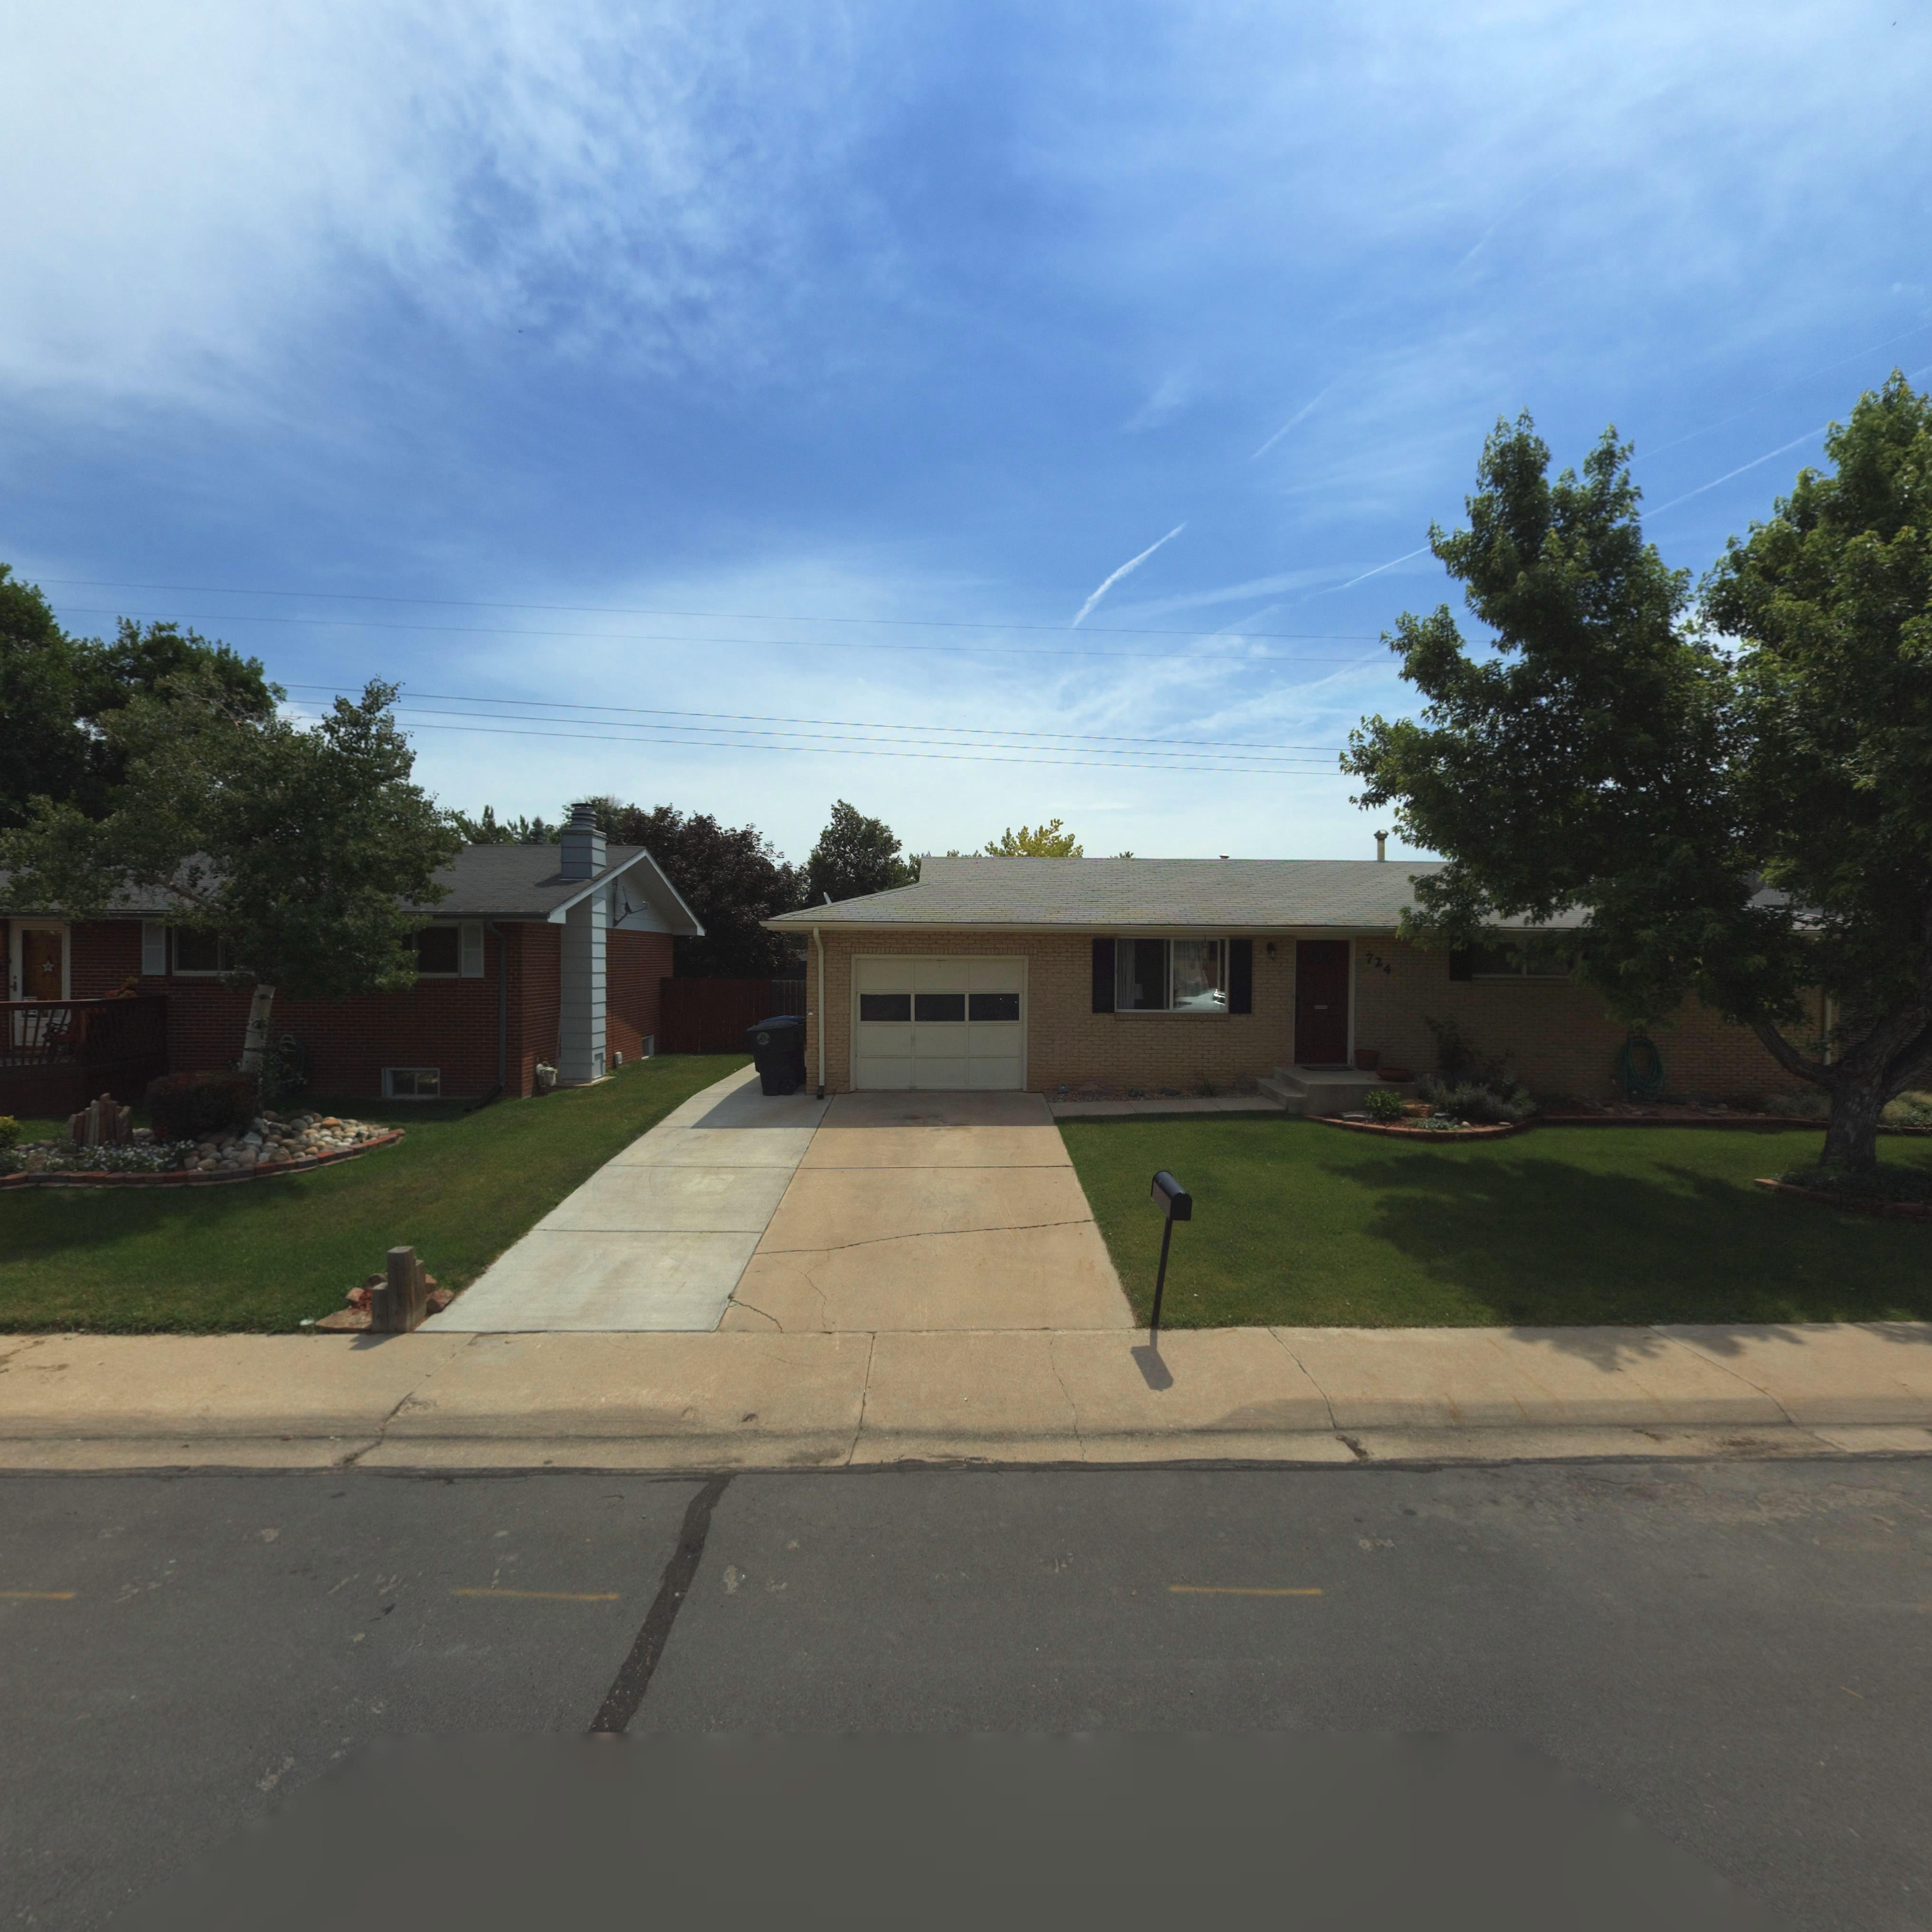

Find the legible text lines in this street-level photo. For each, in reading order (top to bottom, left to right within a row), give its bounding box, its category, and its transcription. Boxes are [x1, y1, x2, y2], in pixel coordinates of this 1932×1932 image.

[1365, 951, 1392, 976] StreetNumber: 724